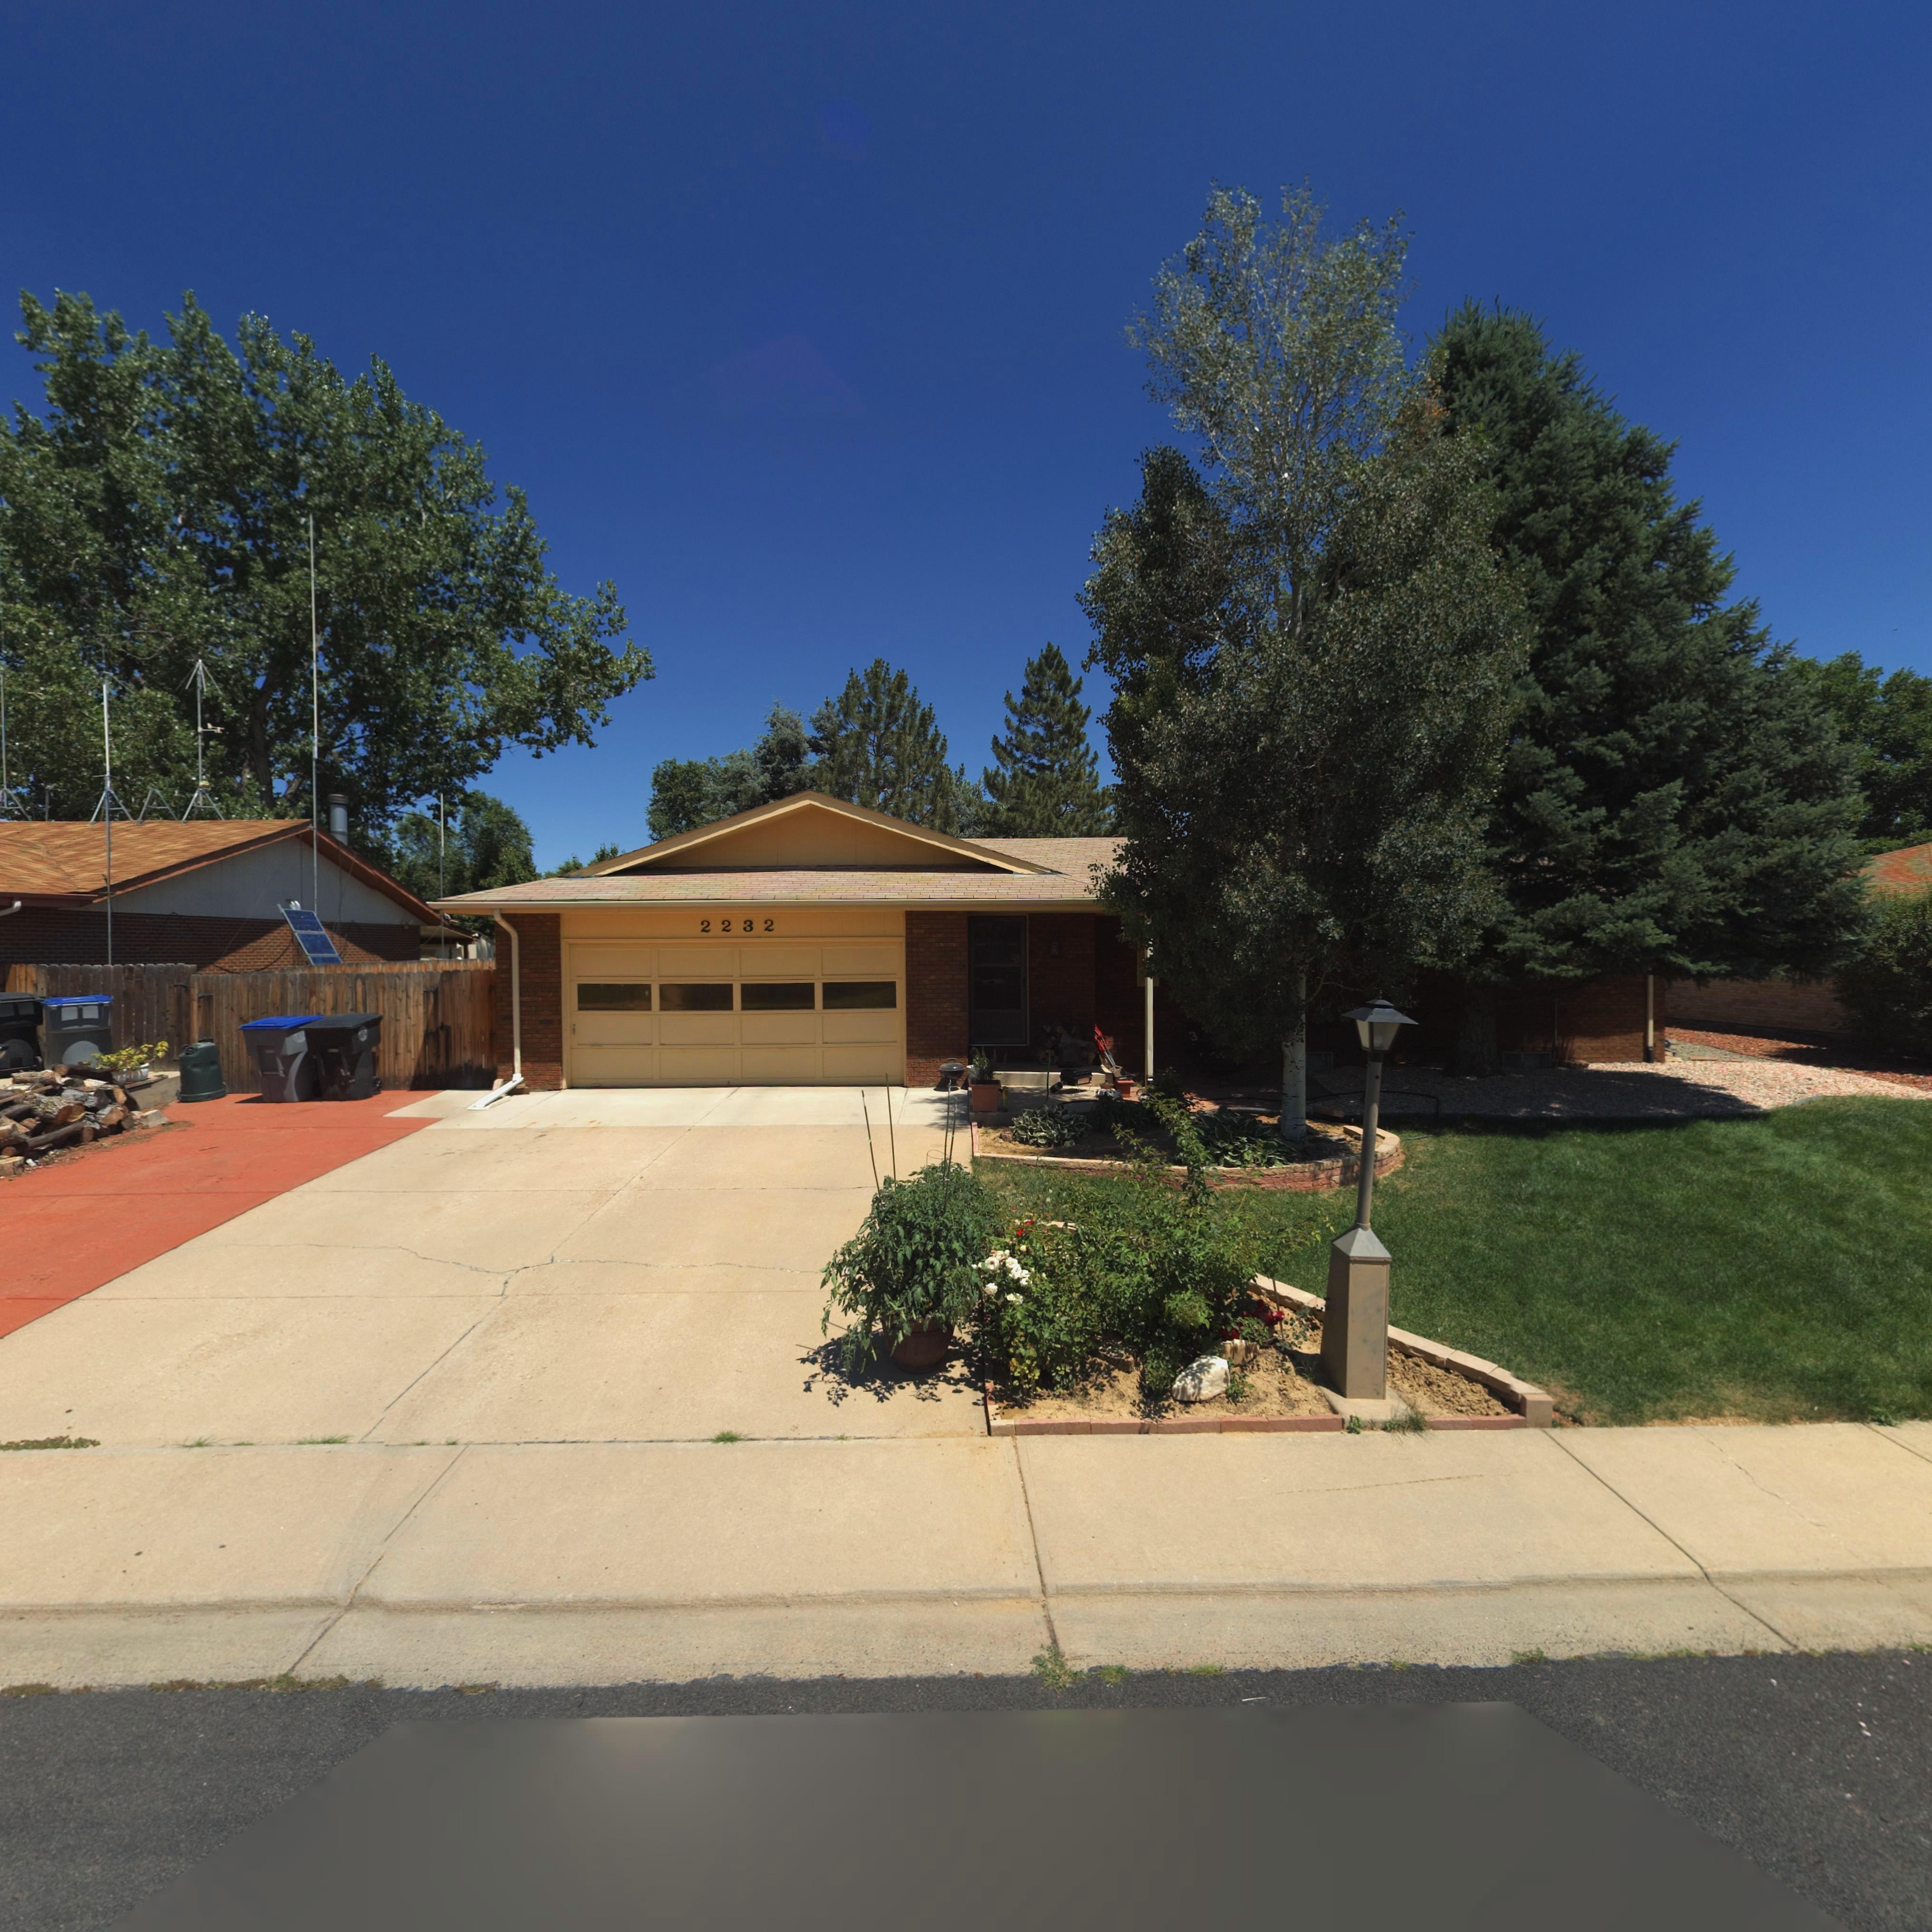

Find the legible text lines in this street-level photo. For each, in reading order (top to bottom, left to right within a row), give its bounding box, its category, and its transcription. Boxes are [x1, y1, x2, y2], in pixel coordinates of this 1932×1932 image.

[700, 918, 775, 933] StreetNumber: 2232